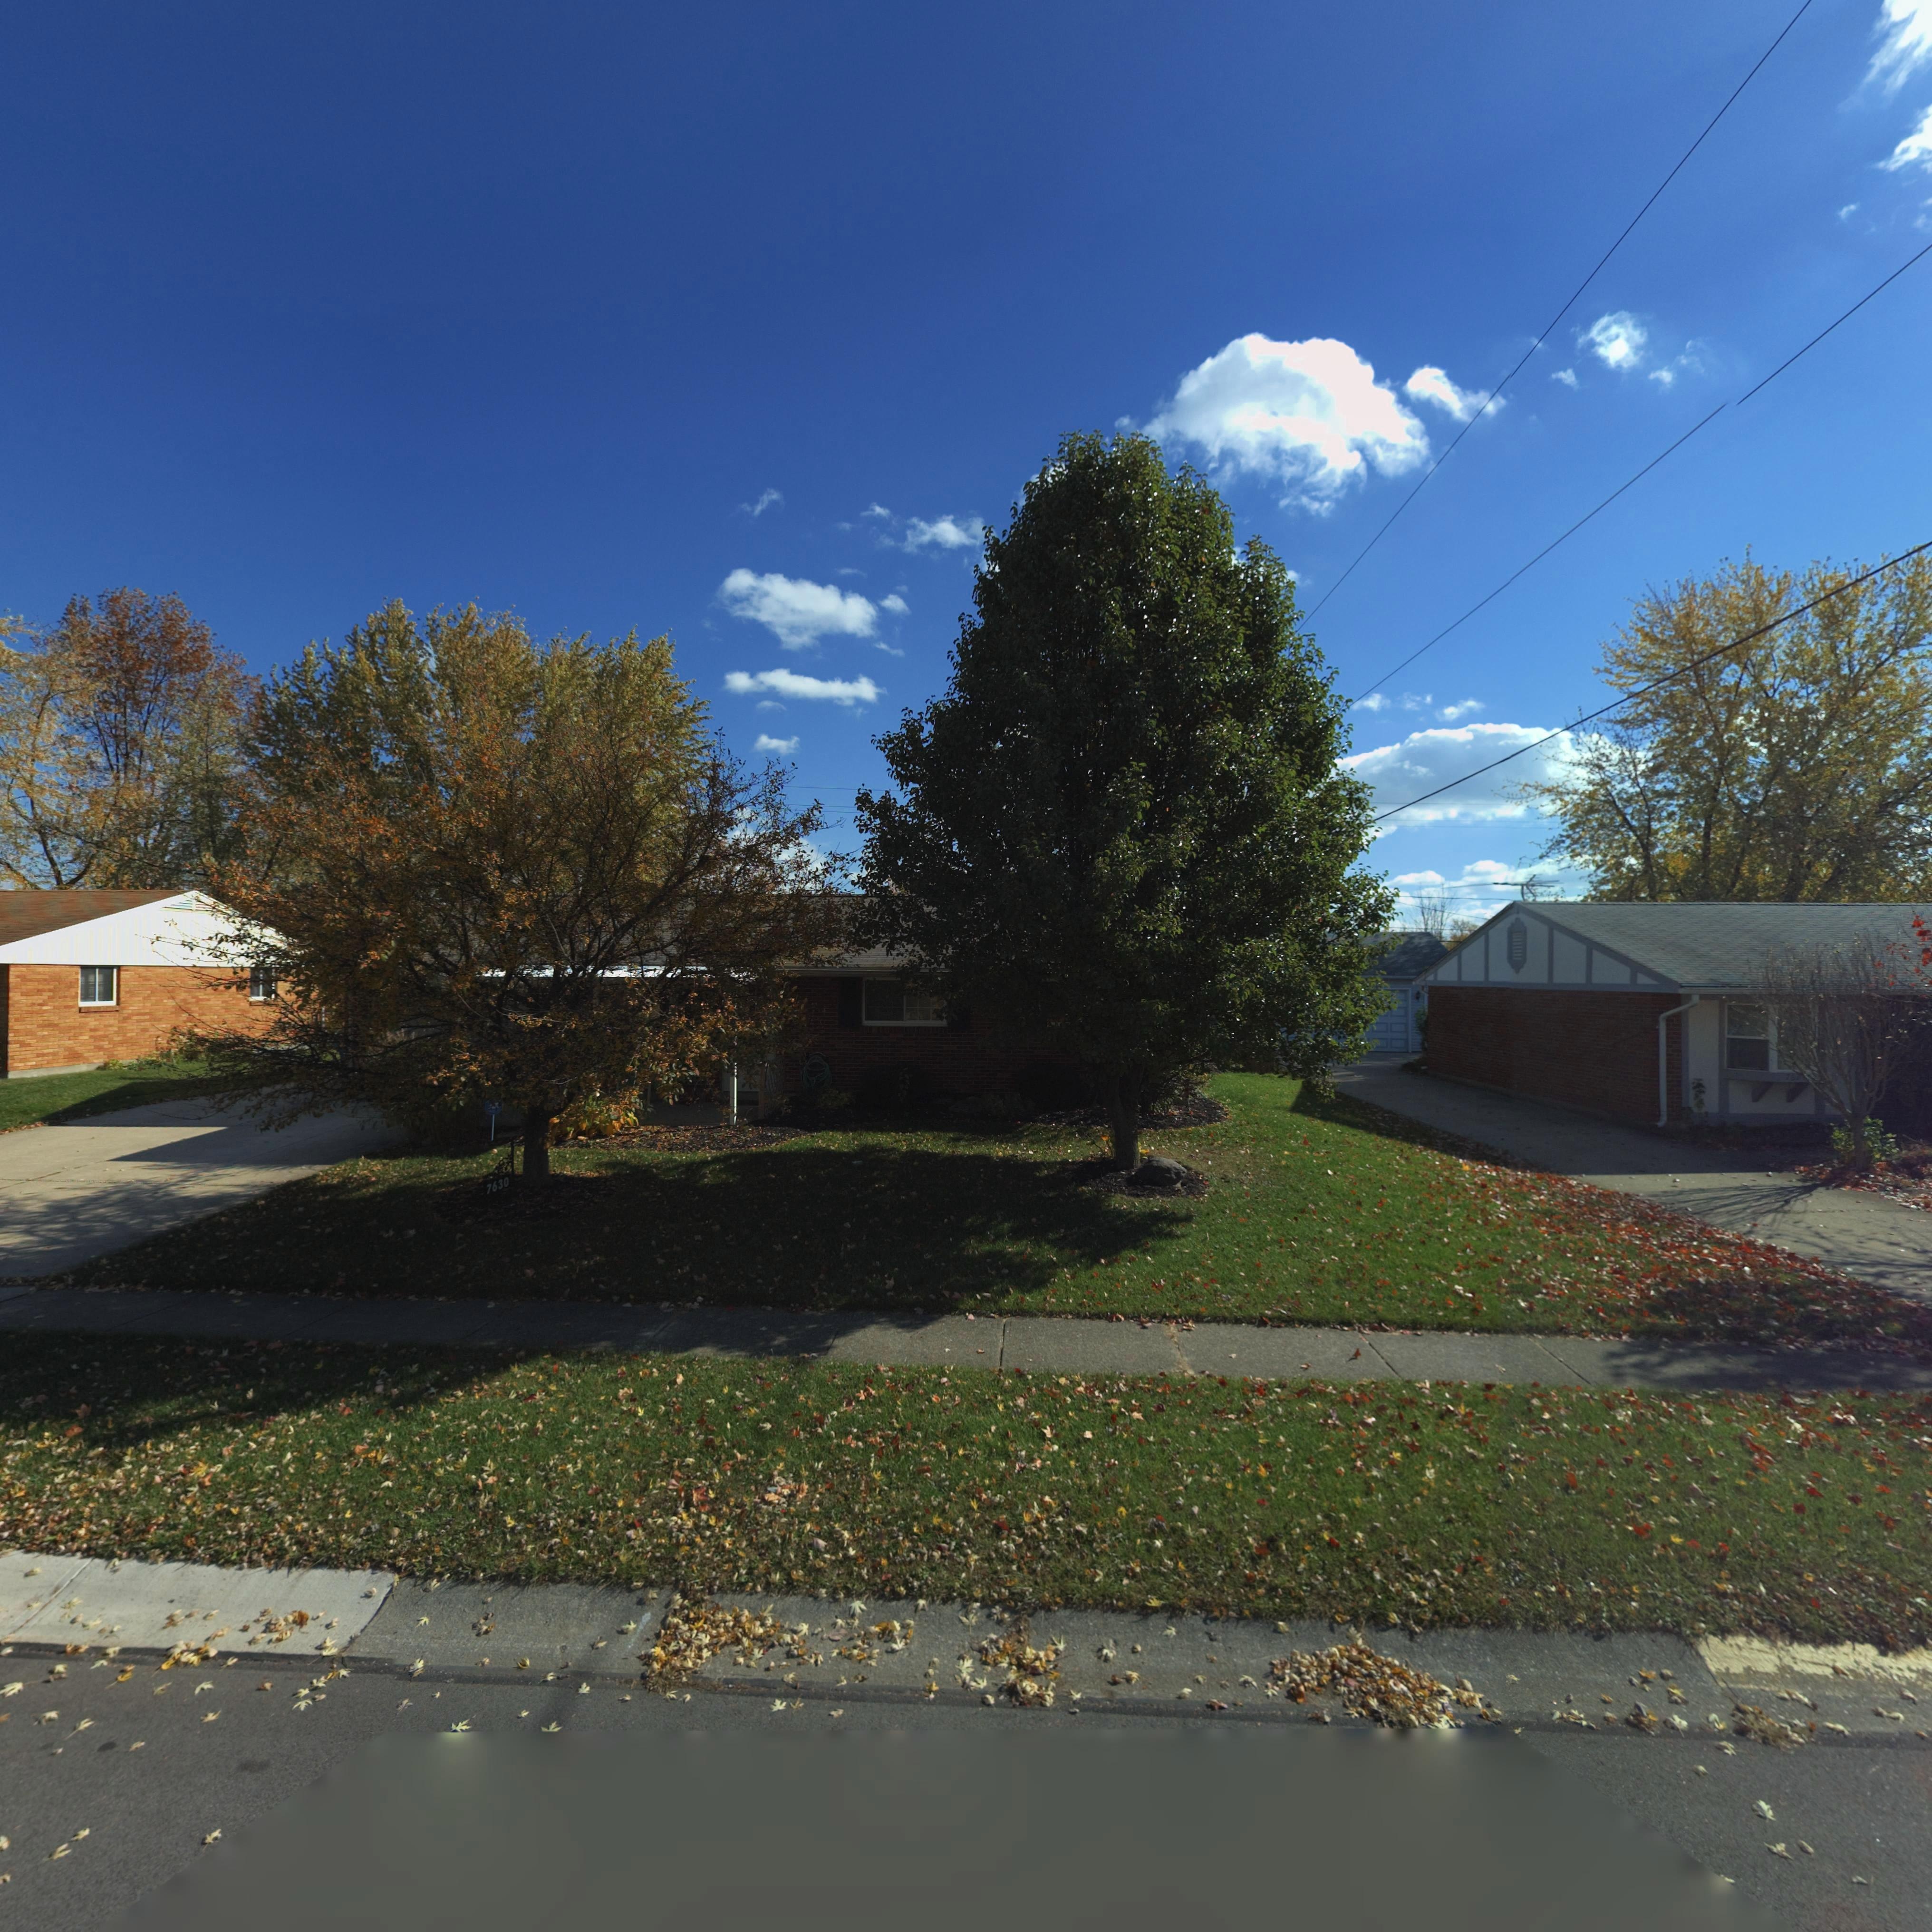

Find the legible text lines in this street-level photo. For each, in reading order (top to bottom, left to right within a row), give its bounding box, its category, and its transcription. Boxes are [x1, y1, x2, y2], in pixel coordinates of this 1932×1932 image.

[1785, 1072, 1797, 1082] StreetNumber: 76
[485, 1175, 511, 1196] StreetNumber: 7630